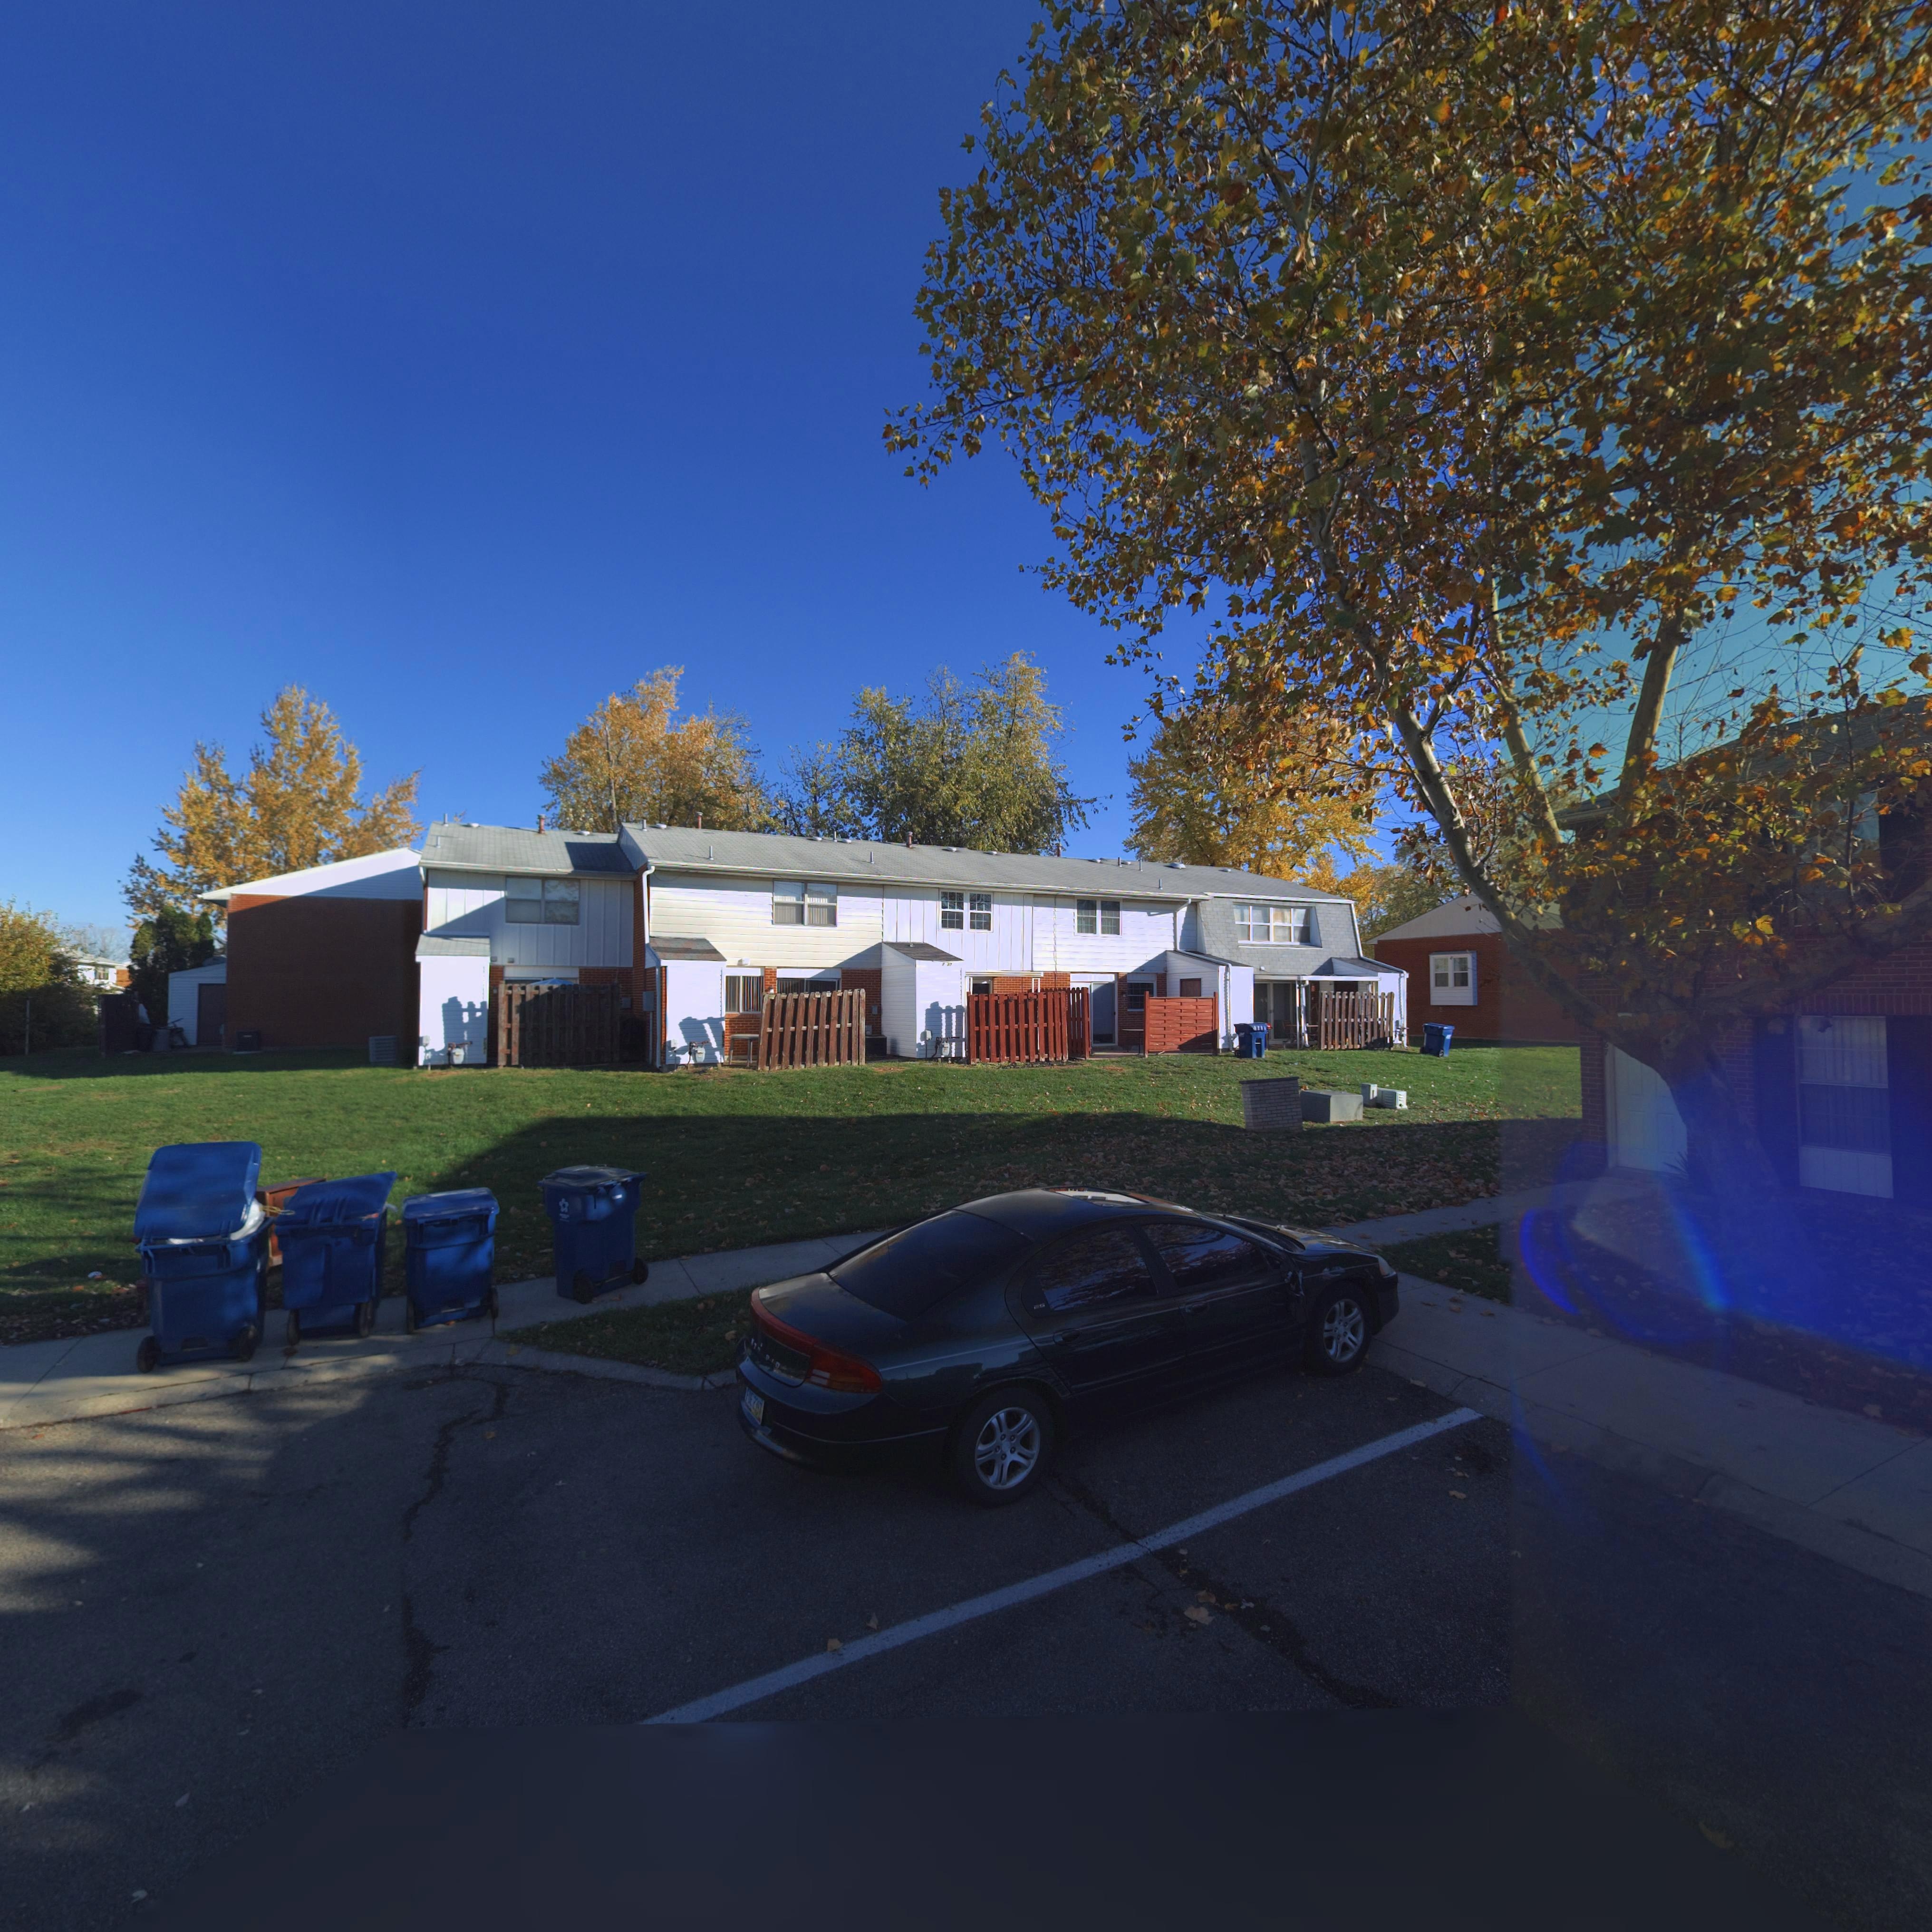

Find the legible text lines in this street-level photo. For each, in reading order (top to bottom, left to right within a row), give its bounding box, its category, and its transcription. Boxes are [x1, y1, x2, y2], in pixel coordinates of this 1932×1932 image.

[1602, 1039, 1610, 1056] StreetNumber: 67